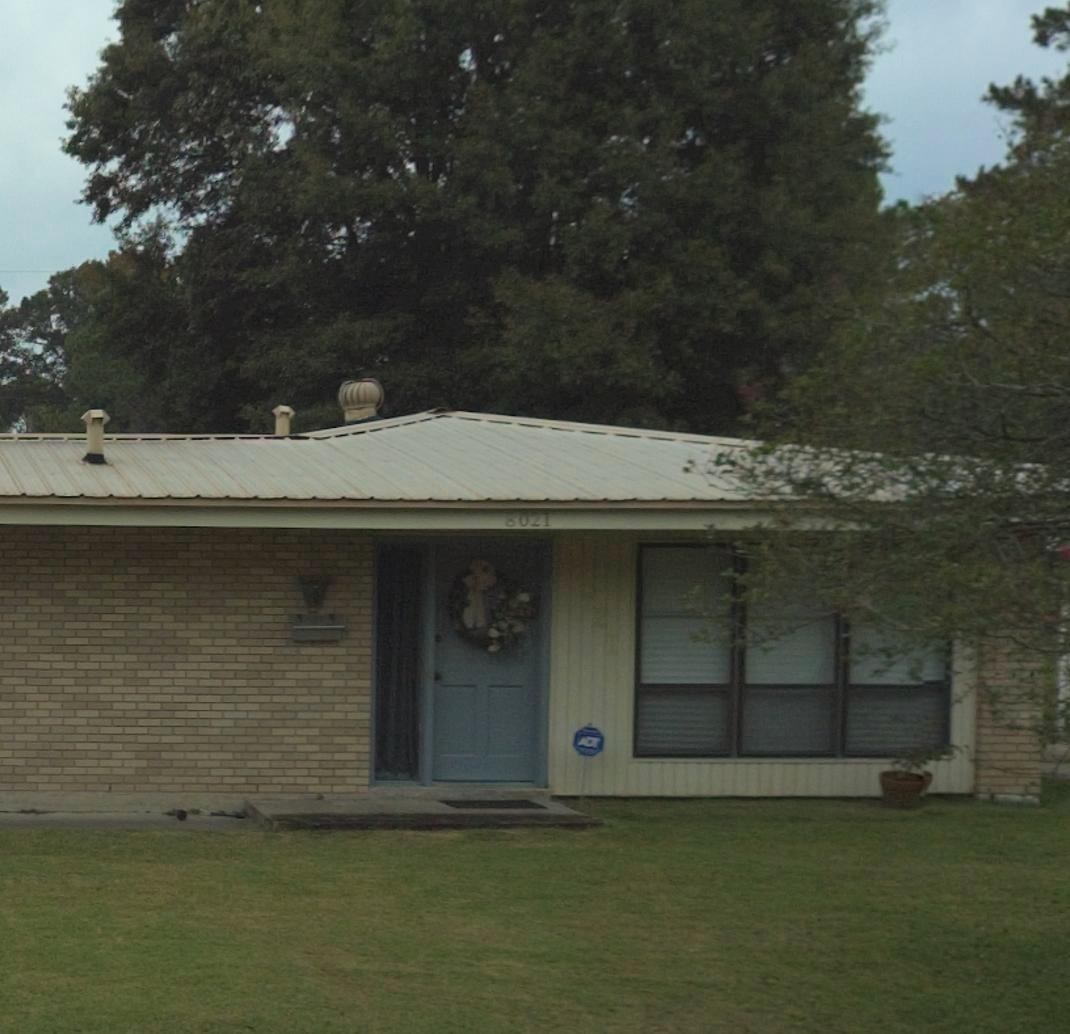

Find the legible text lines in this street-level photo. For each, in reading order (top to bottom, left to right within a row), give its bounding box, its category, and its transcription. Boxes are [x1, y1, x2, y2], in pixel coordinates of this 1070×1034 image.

[504, 511, 553, 527] StreetNumber: 8021
[576, 735, 602, 749] None: ADT